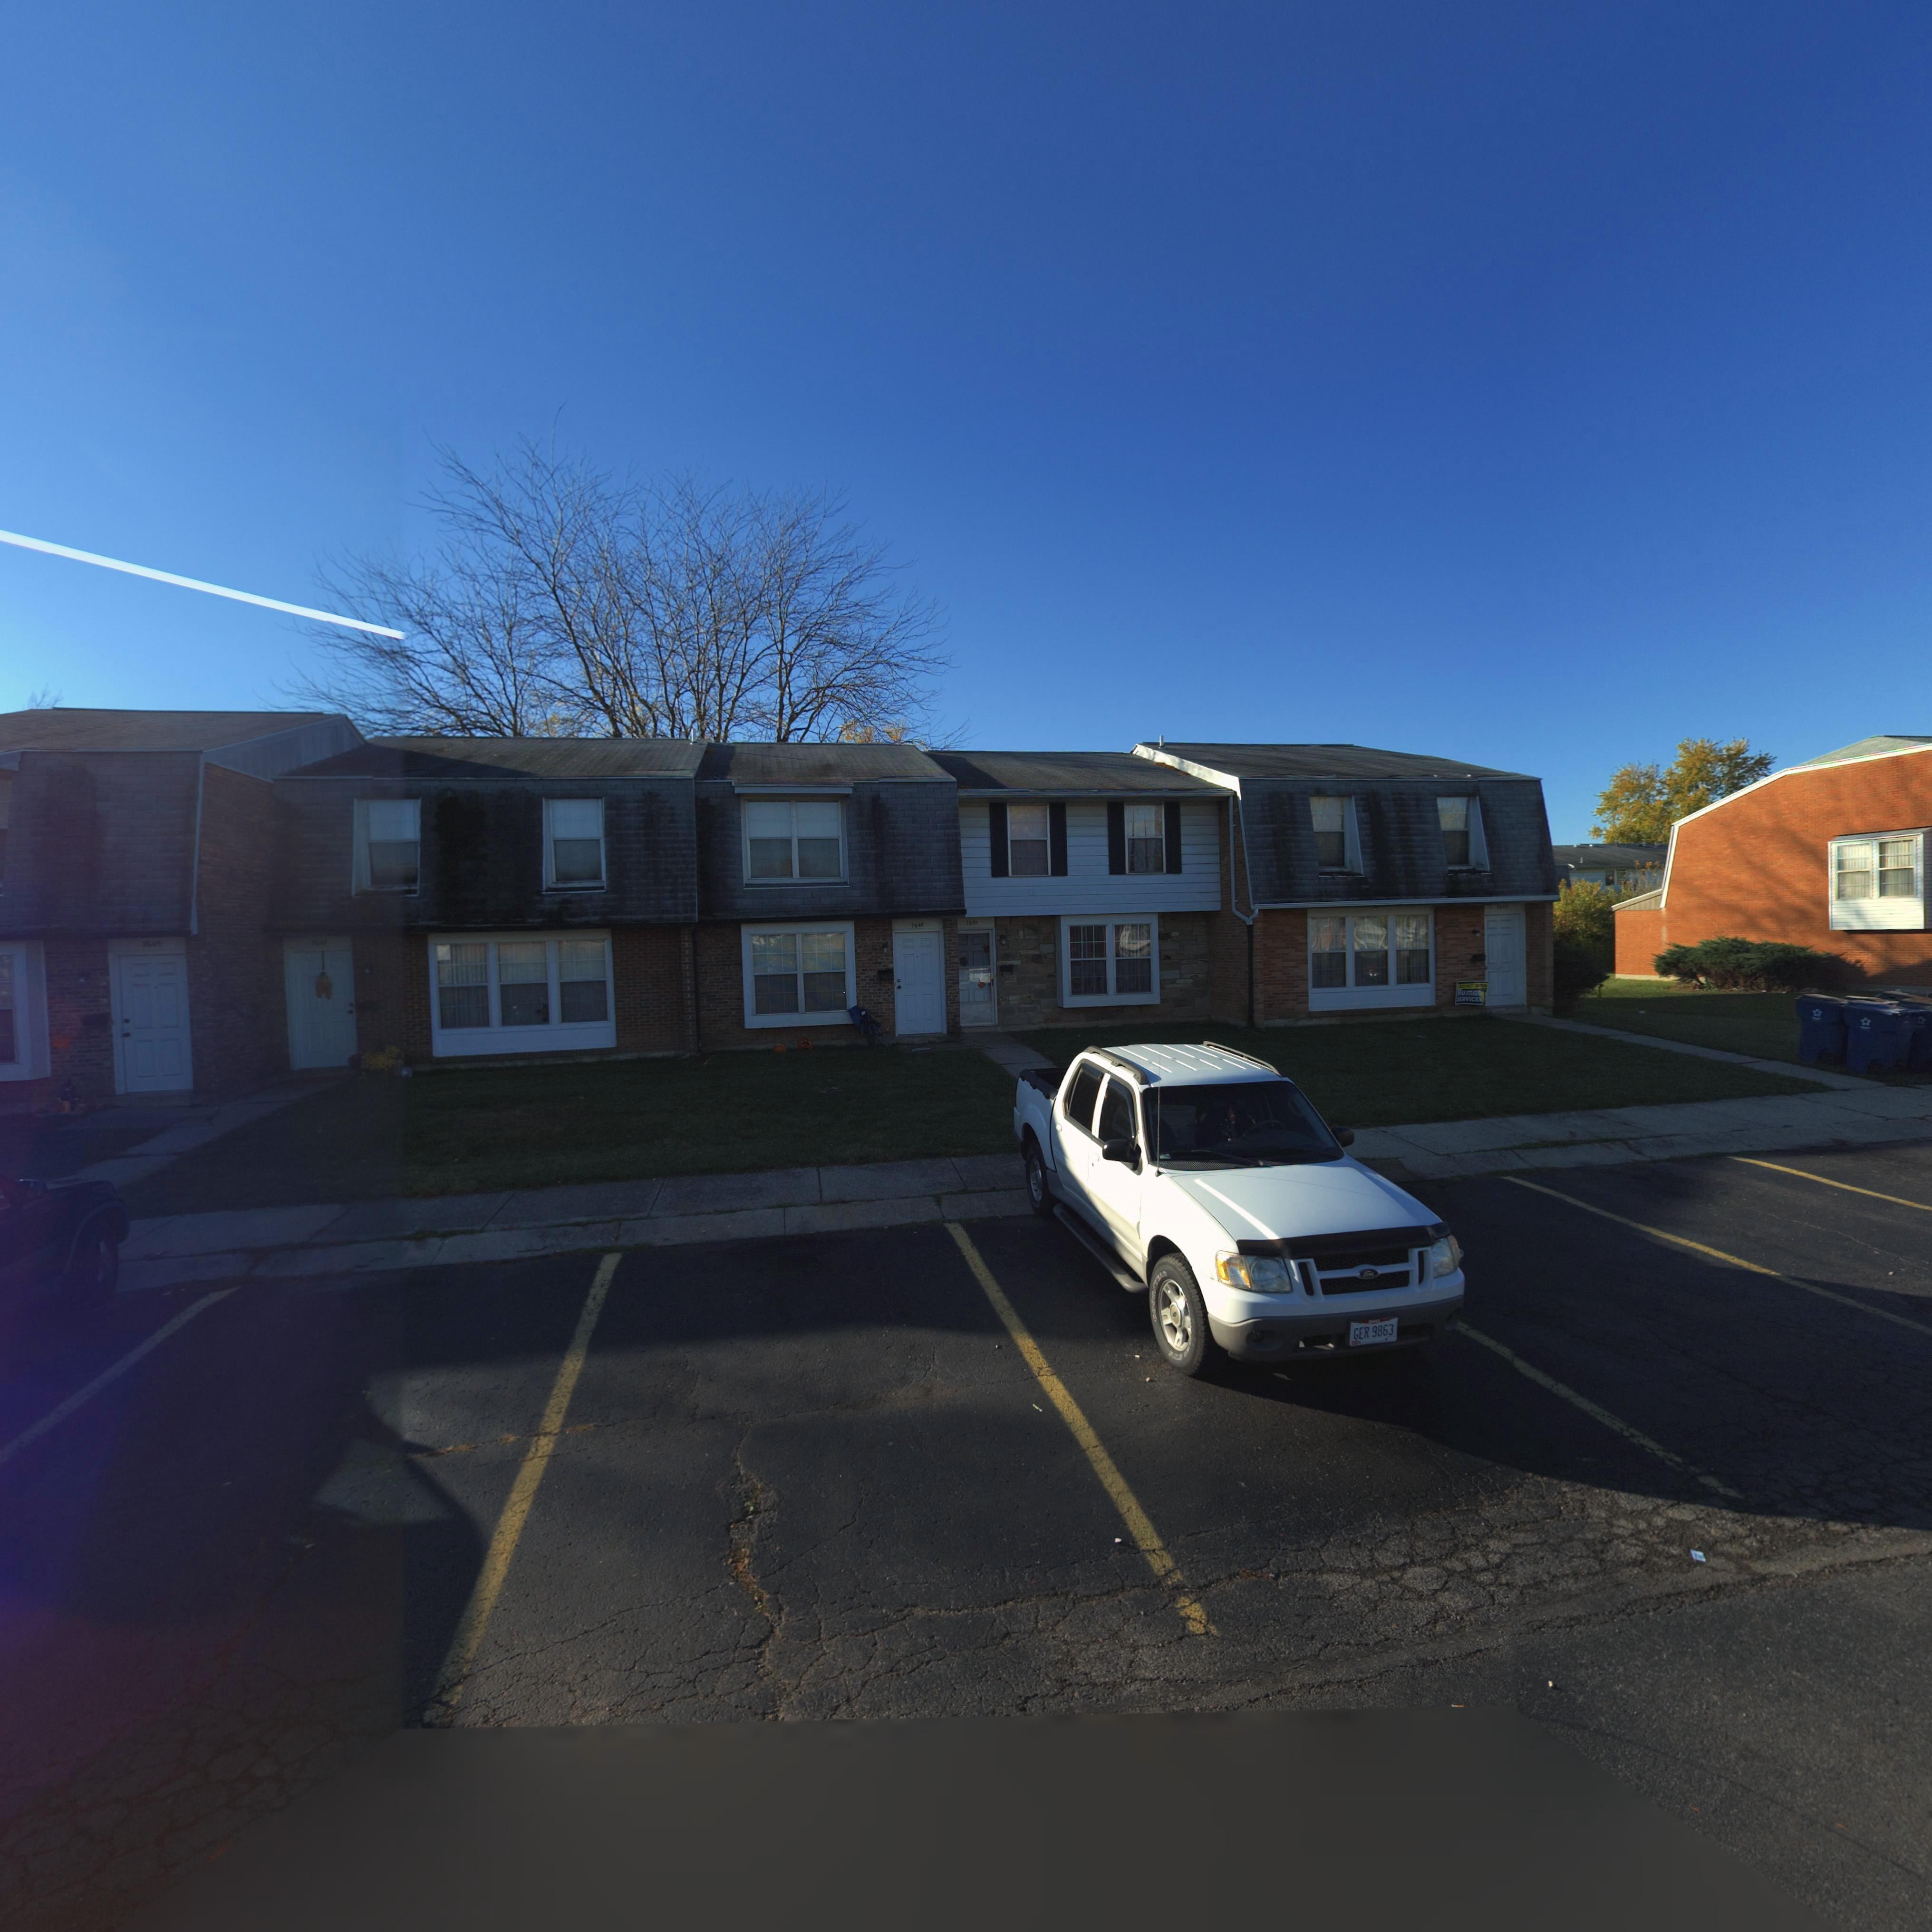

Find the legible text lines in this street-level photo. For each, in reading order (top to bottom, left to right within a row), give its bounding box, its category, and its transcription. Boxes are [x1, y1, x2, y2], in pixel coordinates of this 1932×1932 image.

[1495, 904, 1508, 910] StreetNumber: 7653
[910, 922, 924, 928] StreetNumber: 7649
[966, 919, 978, 926] StreetNumber: 7651
[141, 940, 163, 948] StreetNumber: 7645
[310, 938, 329, 947] StreetNumber: 76**